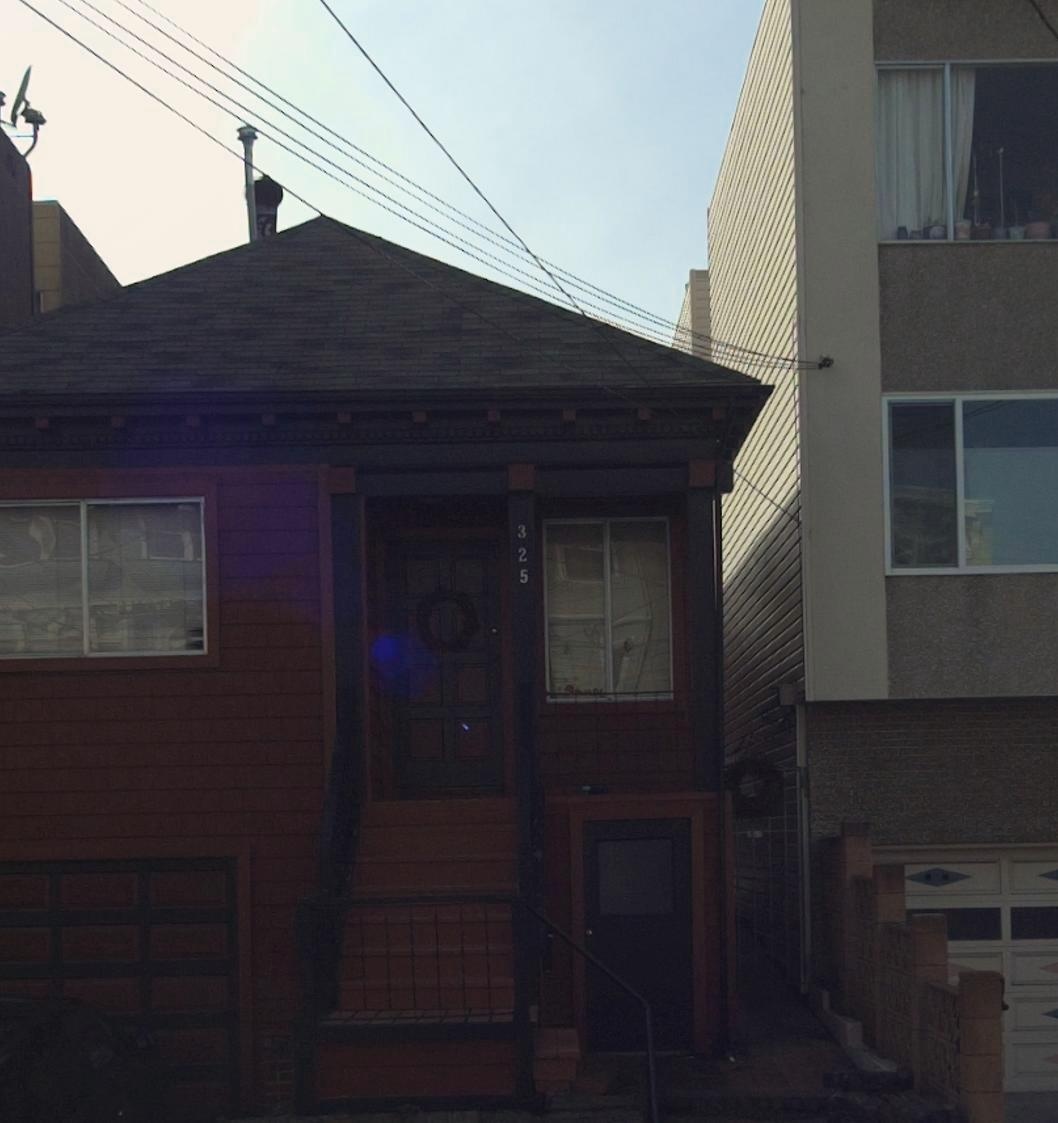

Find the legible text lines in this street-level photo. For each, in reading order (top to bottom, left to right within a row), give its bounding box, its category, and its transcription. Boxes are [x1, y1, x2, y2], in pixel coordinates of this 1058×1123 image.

[516, 523, 530, 585] StreetNumber: 325